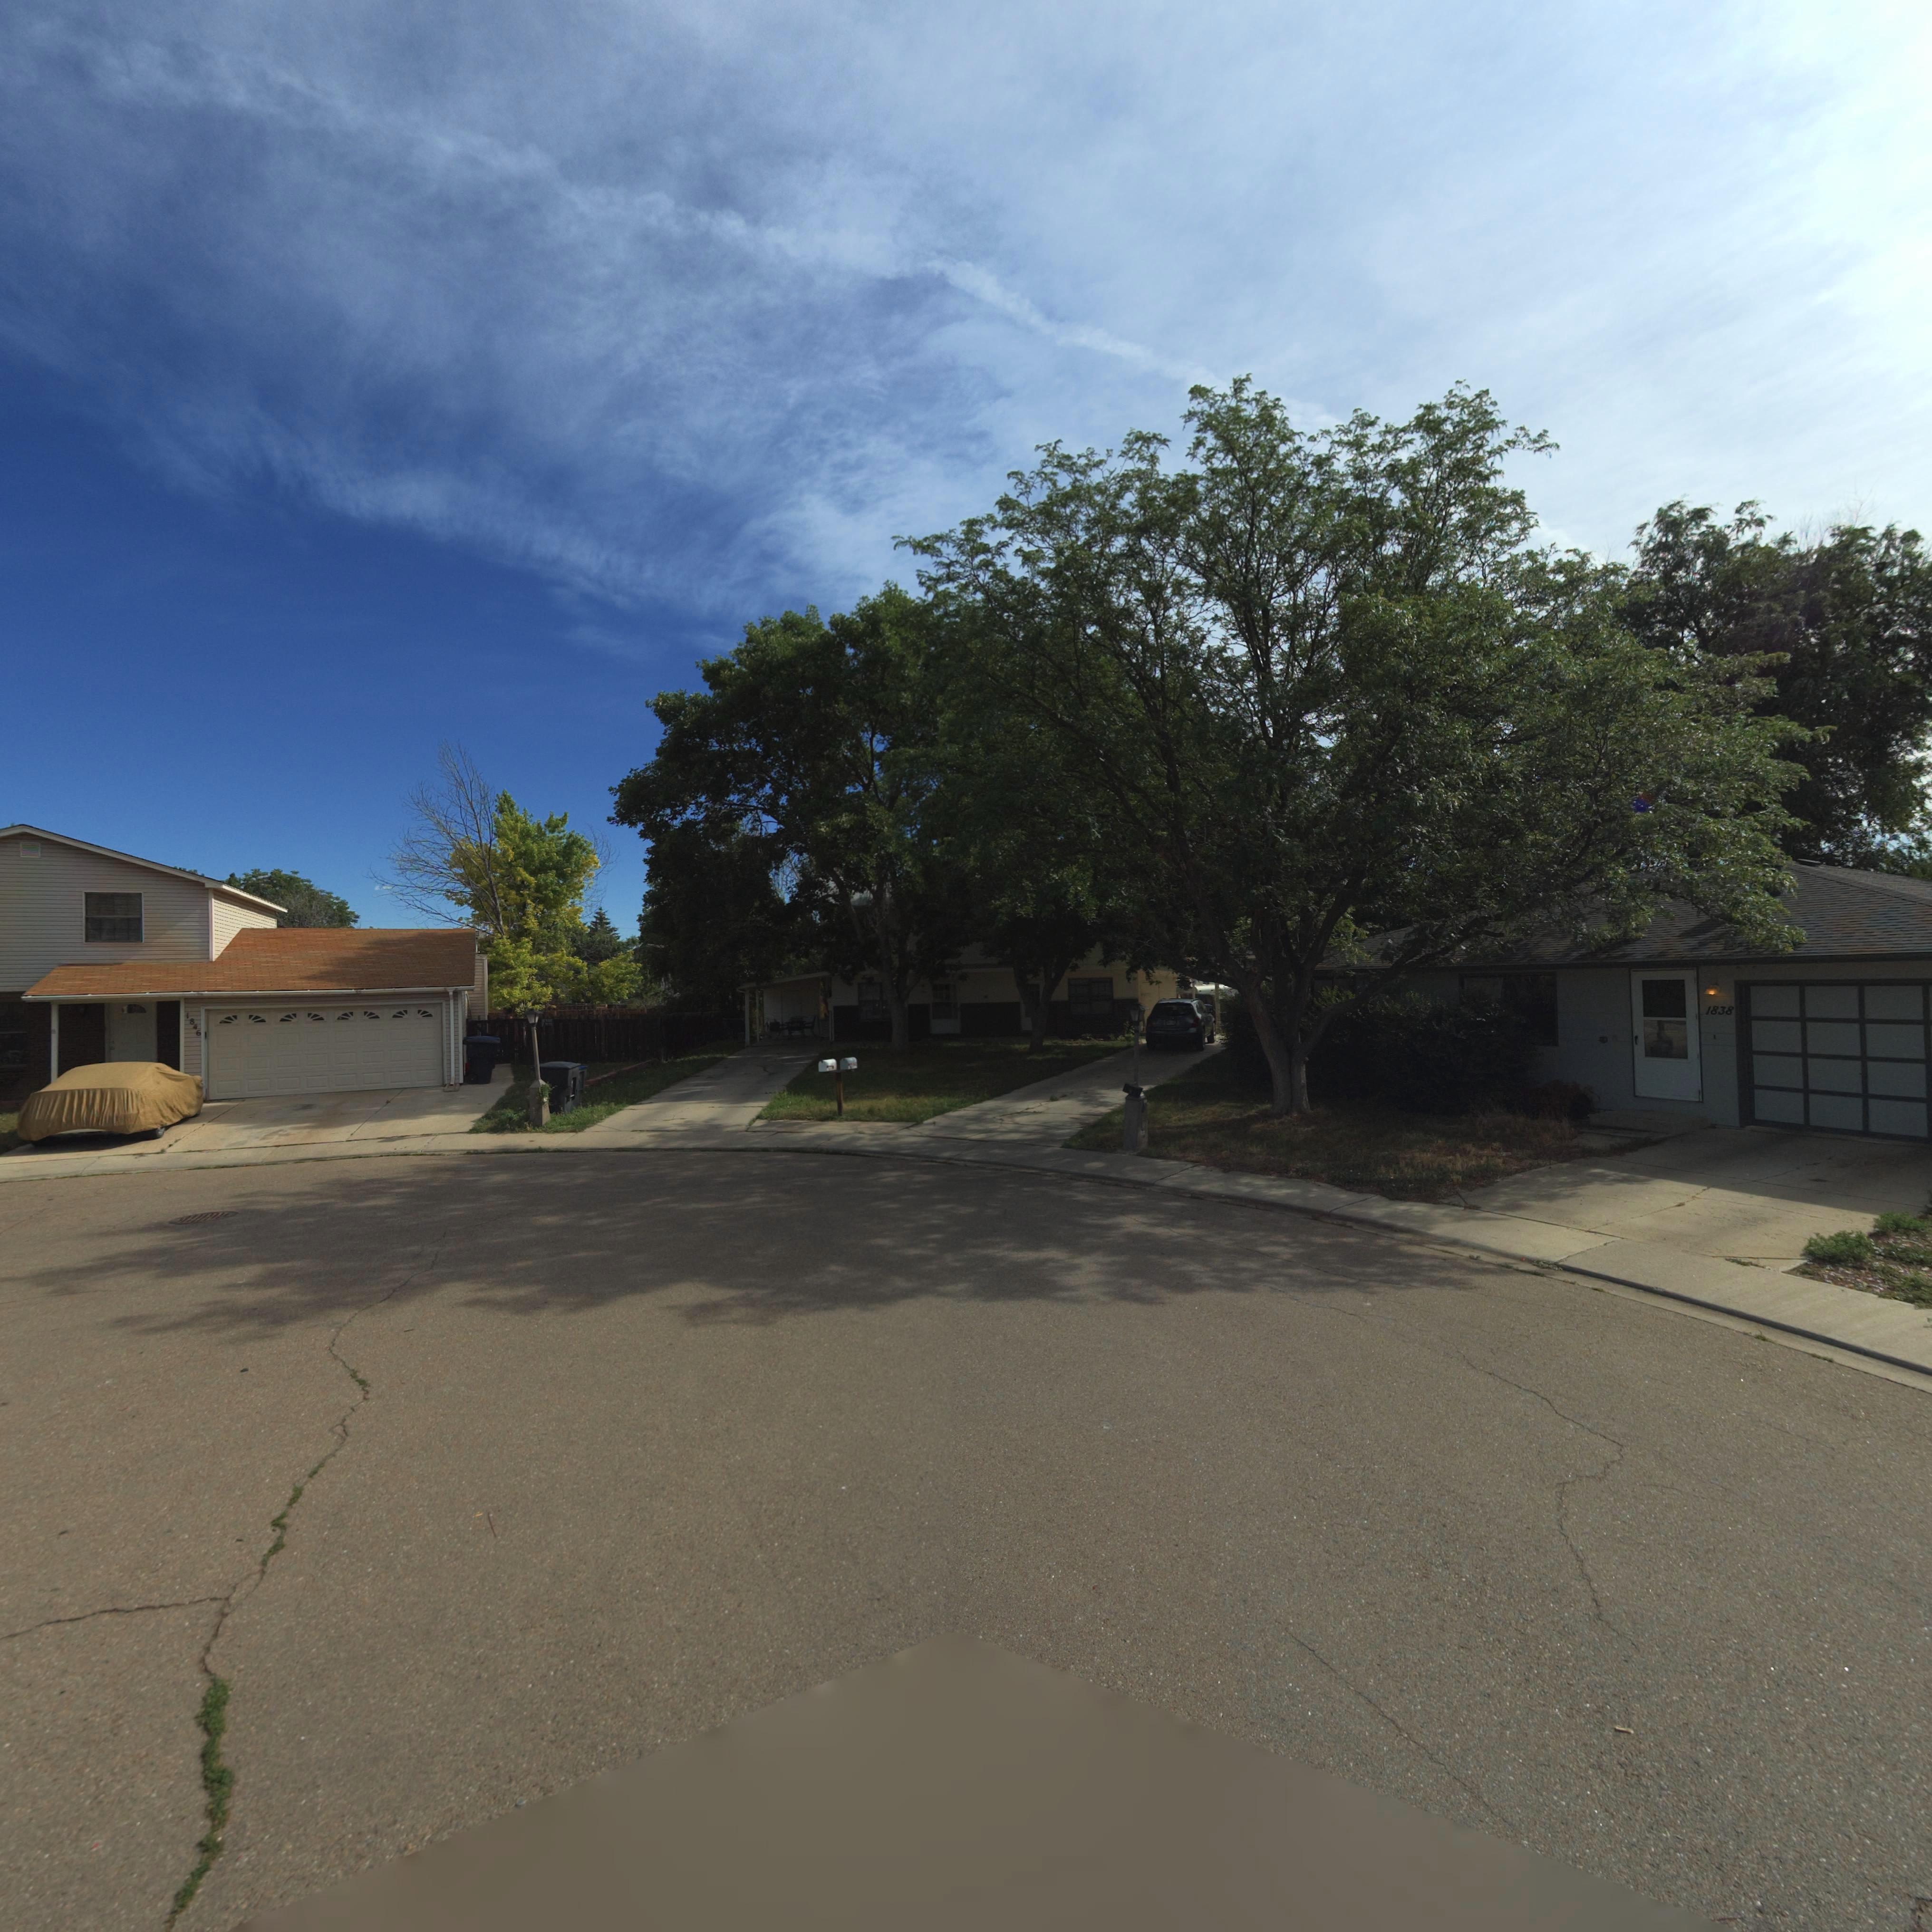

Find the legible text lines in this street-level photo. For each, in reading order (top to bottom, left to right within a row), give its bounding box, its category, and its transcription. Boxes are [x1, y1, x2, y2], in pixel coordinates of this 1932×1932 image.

[1705, 1005, 1734, 1015] StreetNumber: 1838
[185, 1012, 202, 1036] StreetNumber: 1846